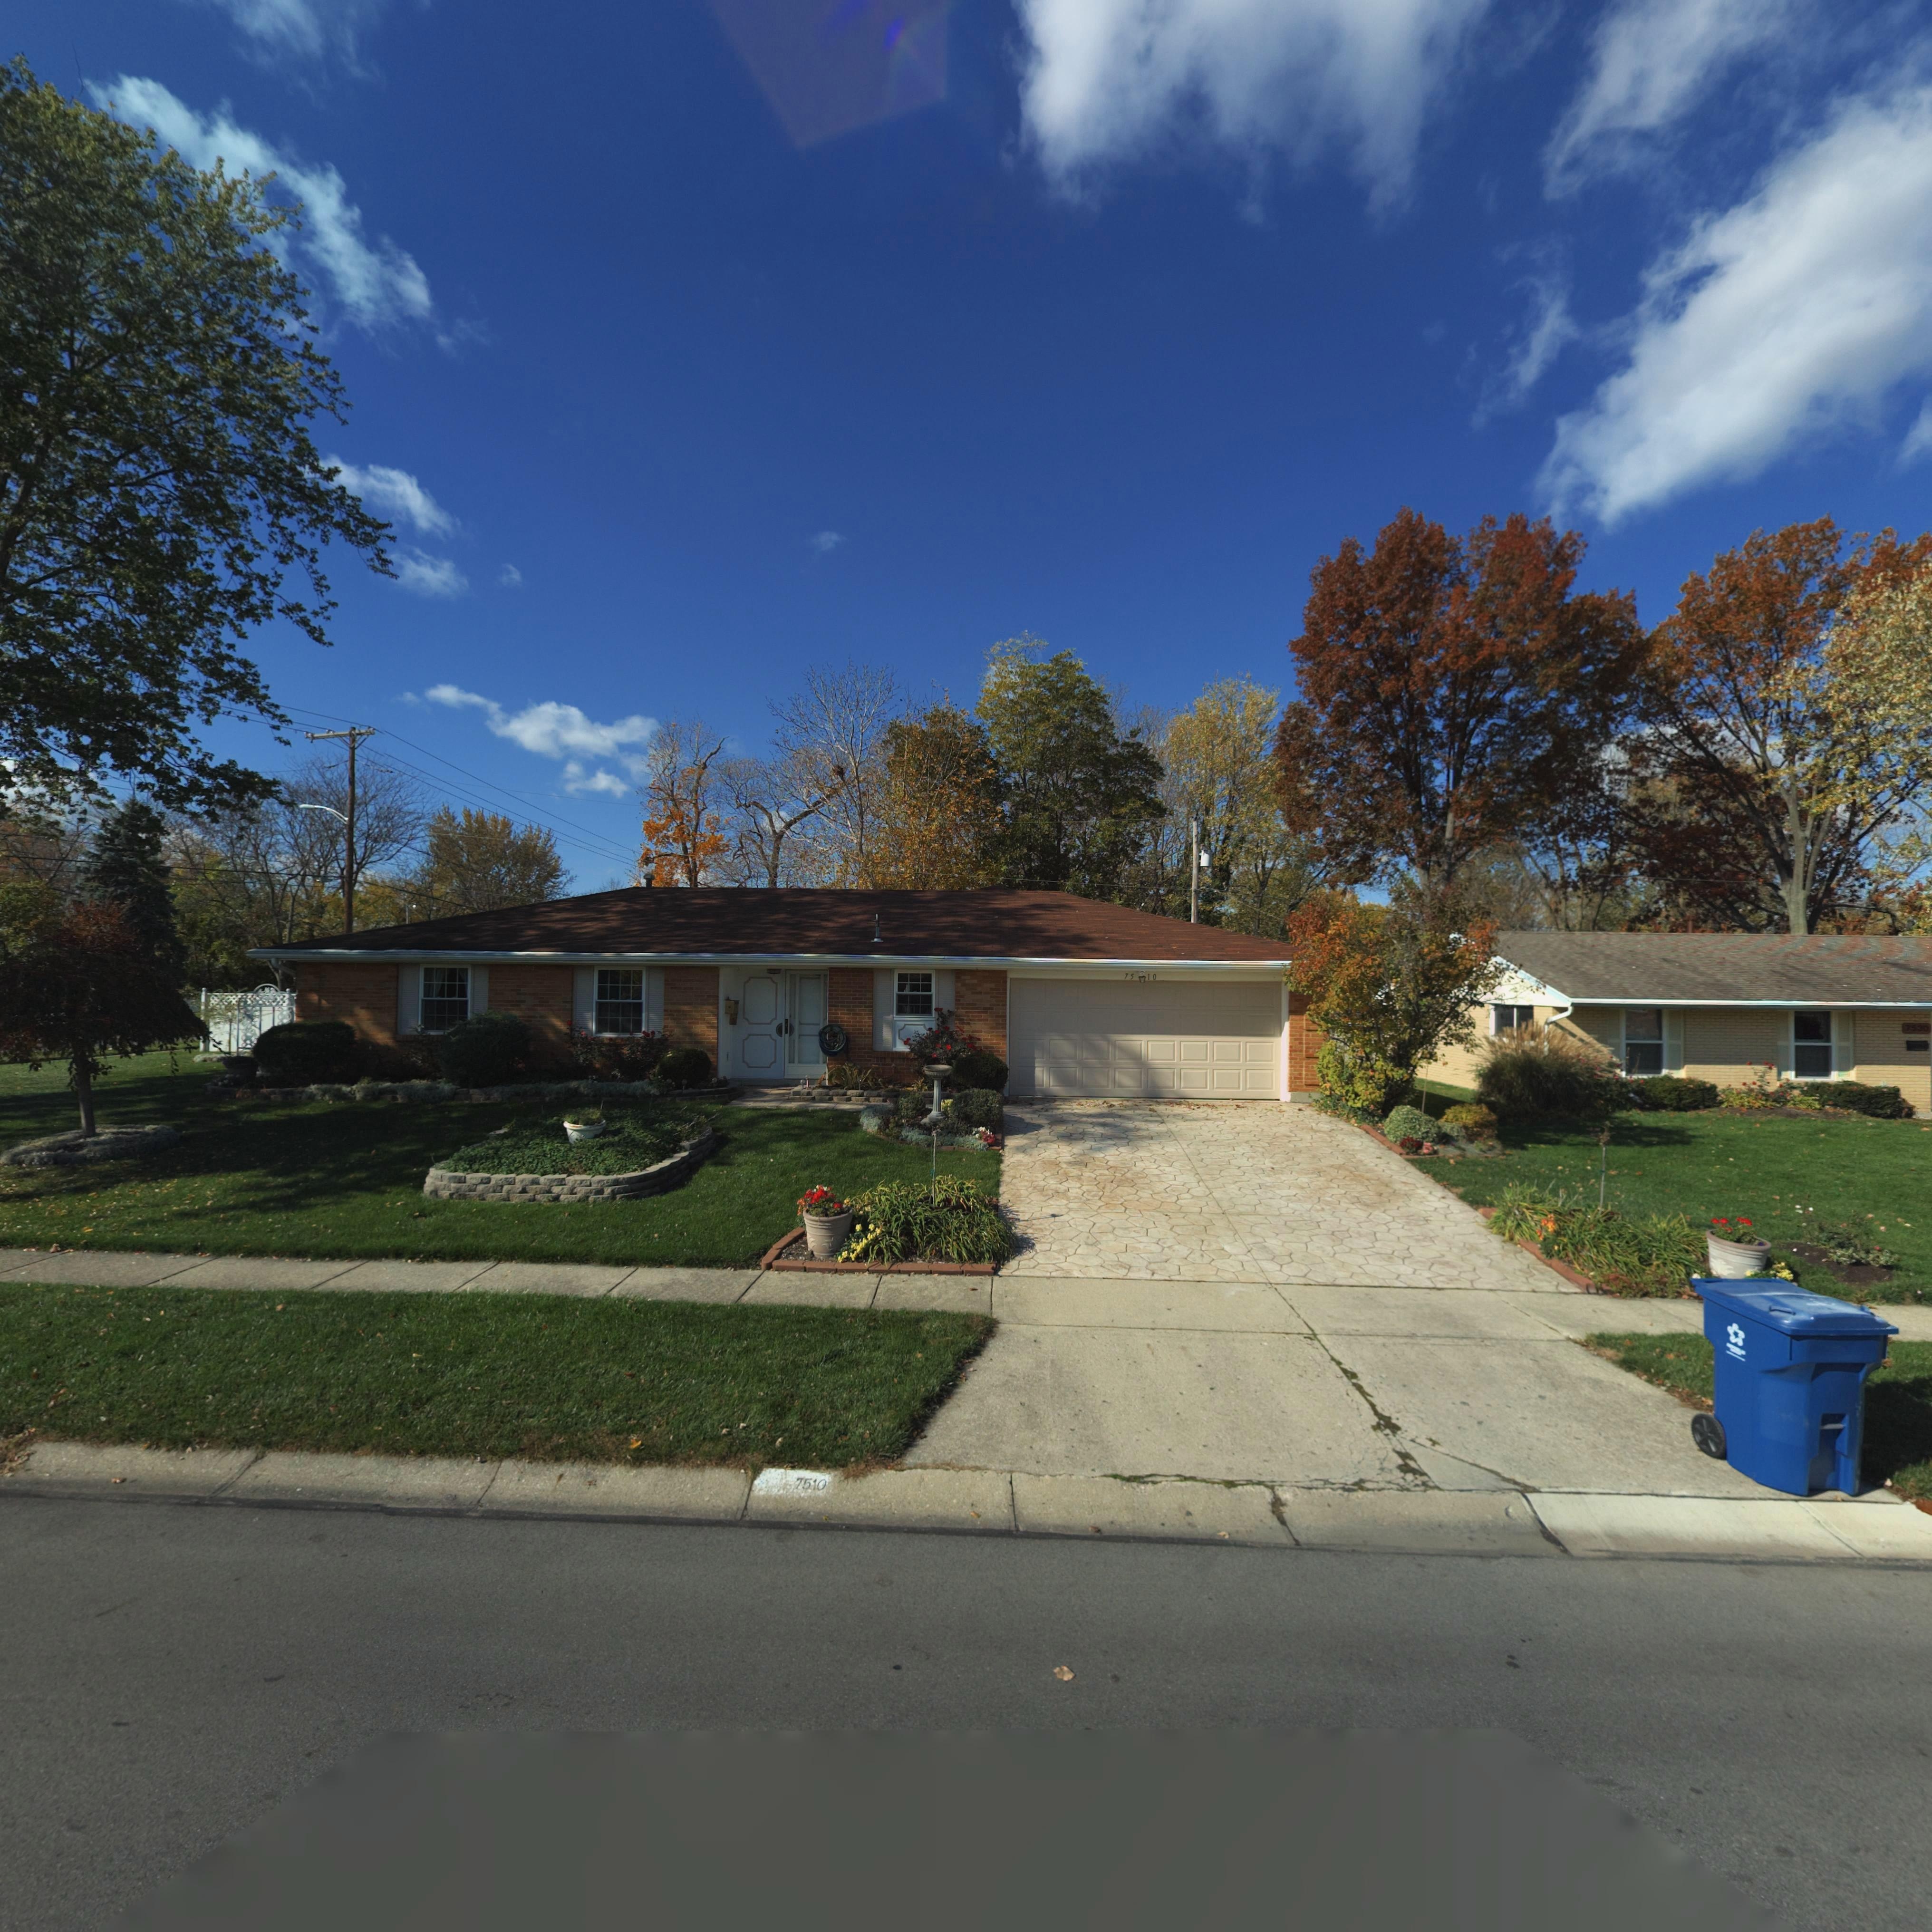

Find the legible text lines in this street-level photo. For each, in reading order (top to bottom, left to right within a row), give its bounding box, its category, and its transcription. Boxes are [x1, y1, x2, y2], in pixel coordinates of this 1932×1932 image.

[1123, 972, 1158, 981] StreetNumber: 75*10
[794, 1476, 828, 1493] StreetNumber: 7510